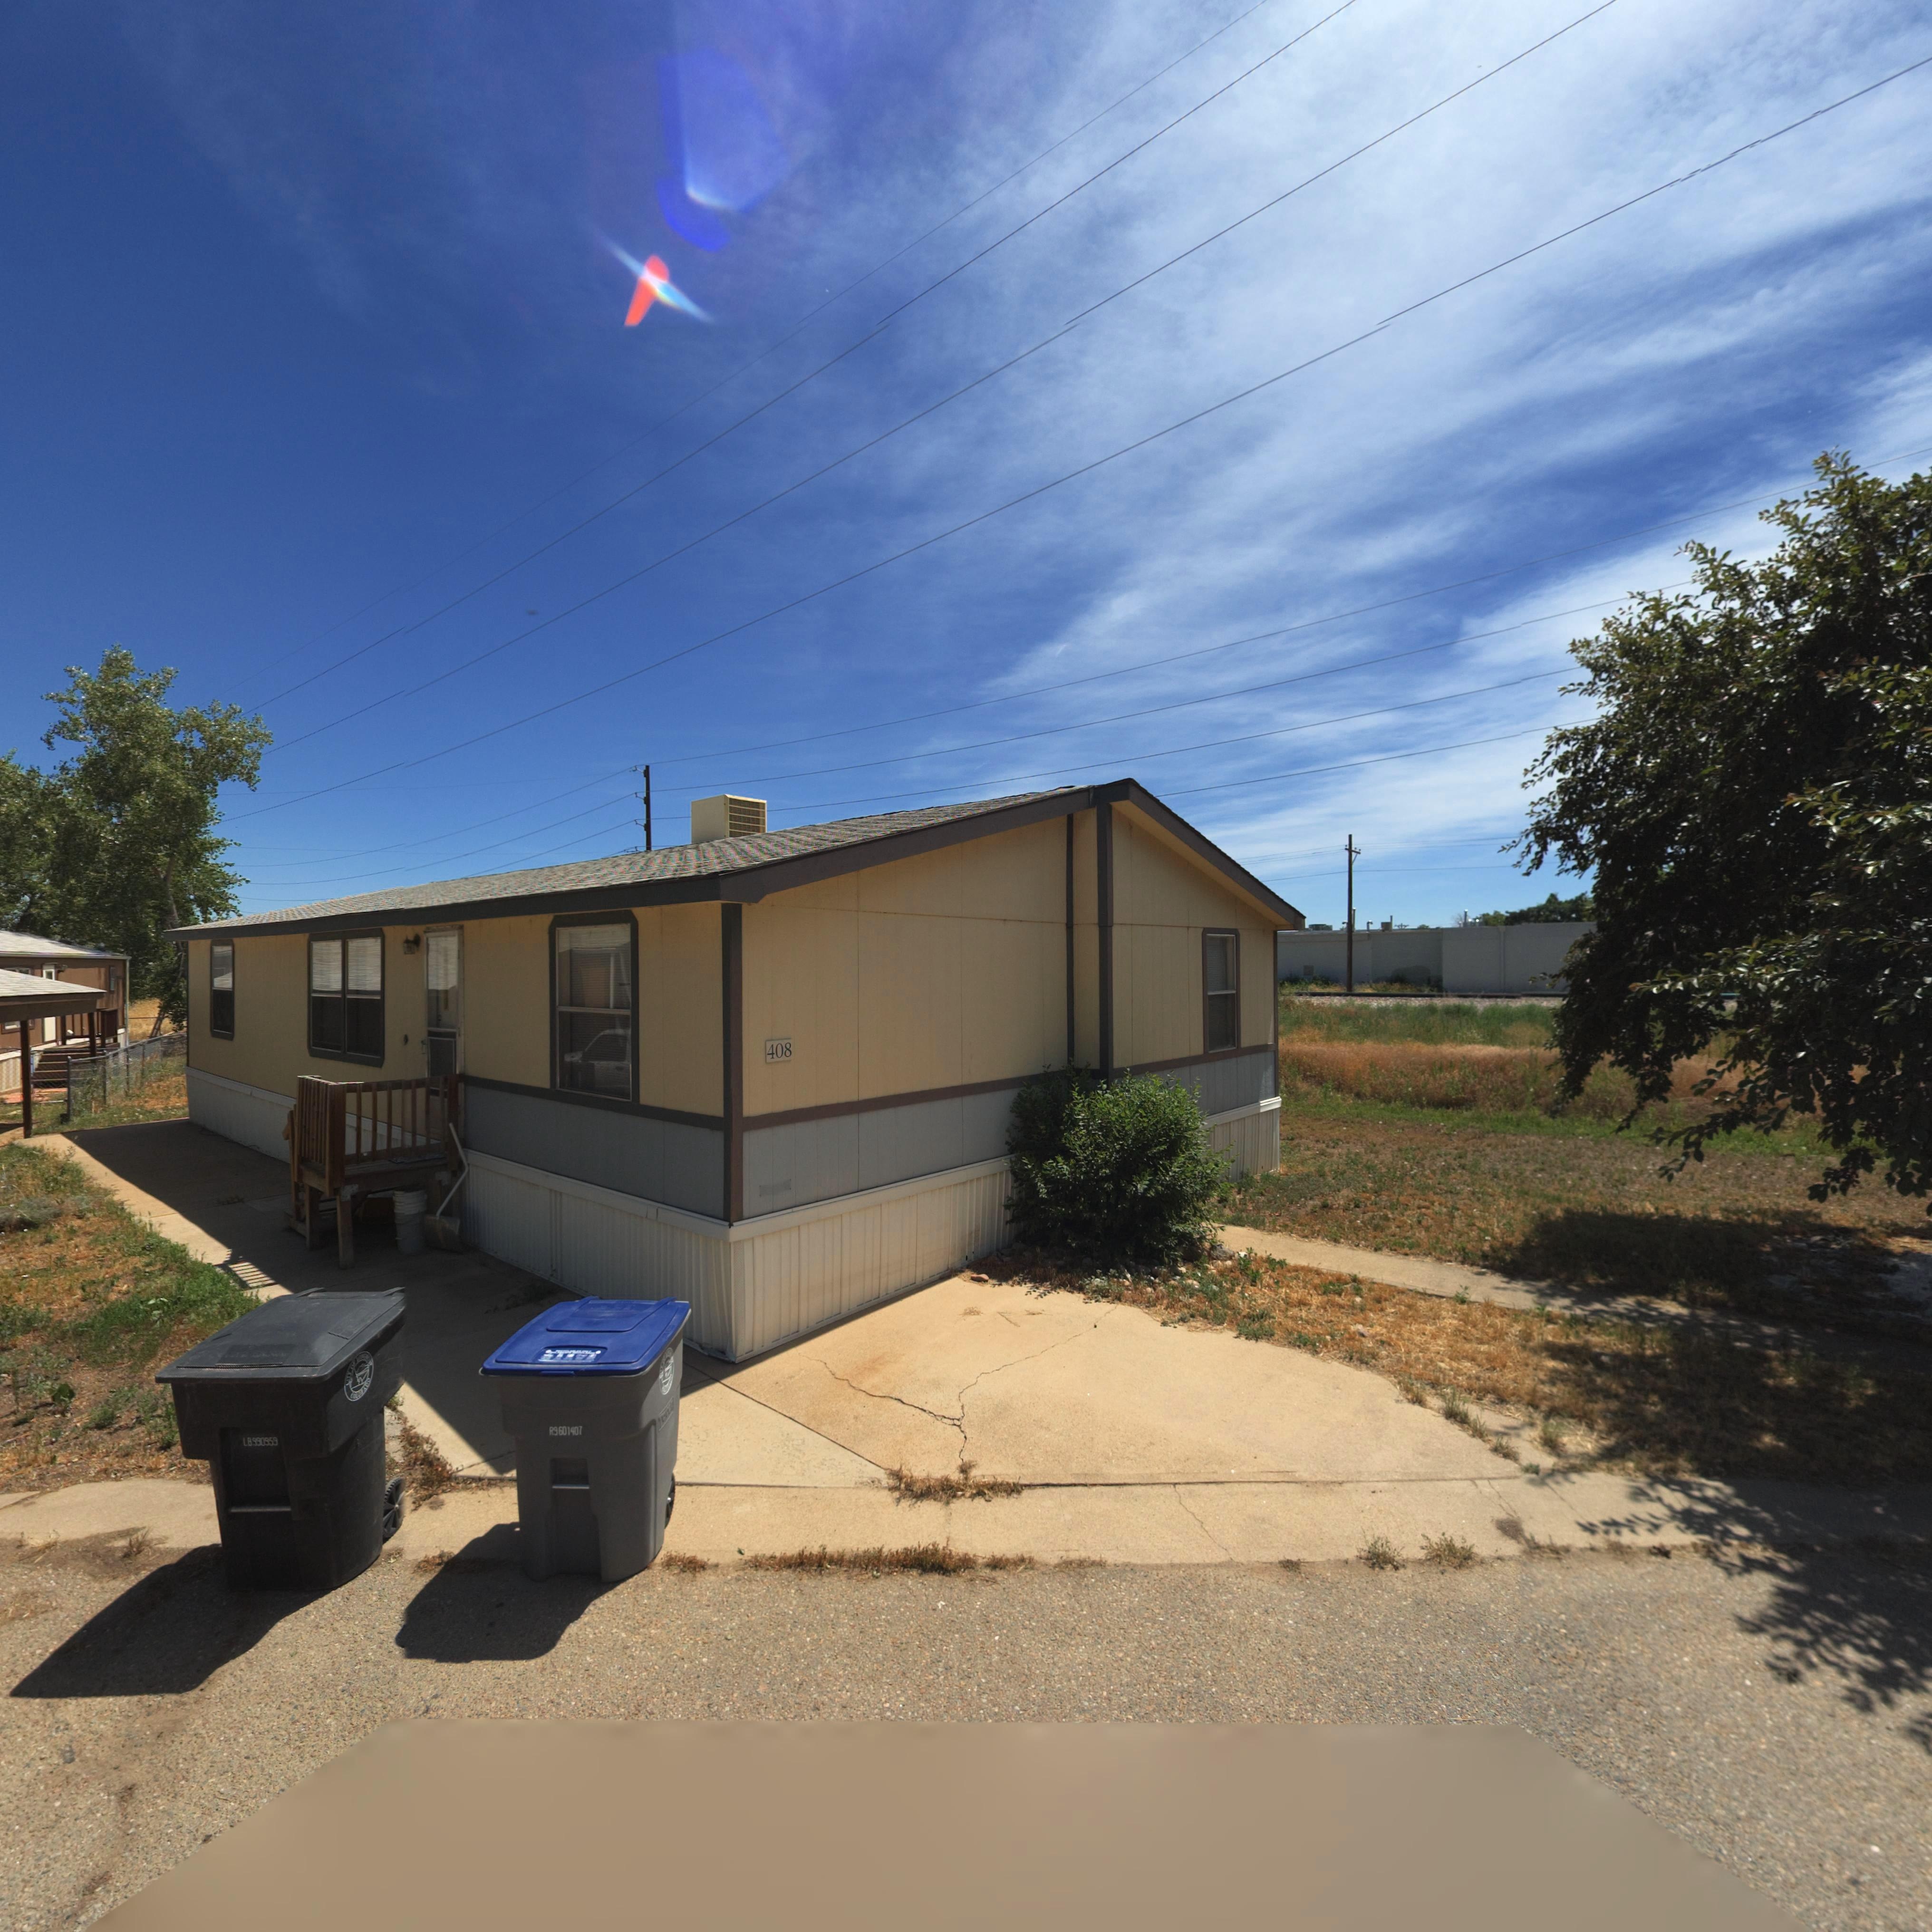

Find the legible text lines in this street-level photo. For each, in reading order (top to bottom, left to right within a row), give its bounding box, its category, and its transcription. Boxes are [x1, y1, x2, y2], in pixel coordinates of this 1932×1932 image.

[766, 1042, 792, 1059] StreetNumber: 408